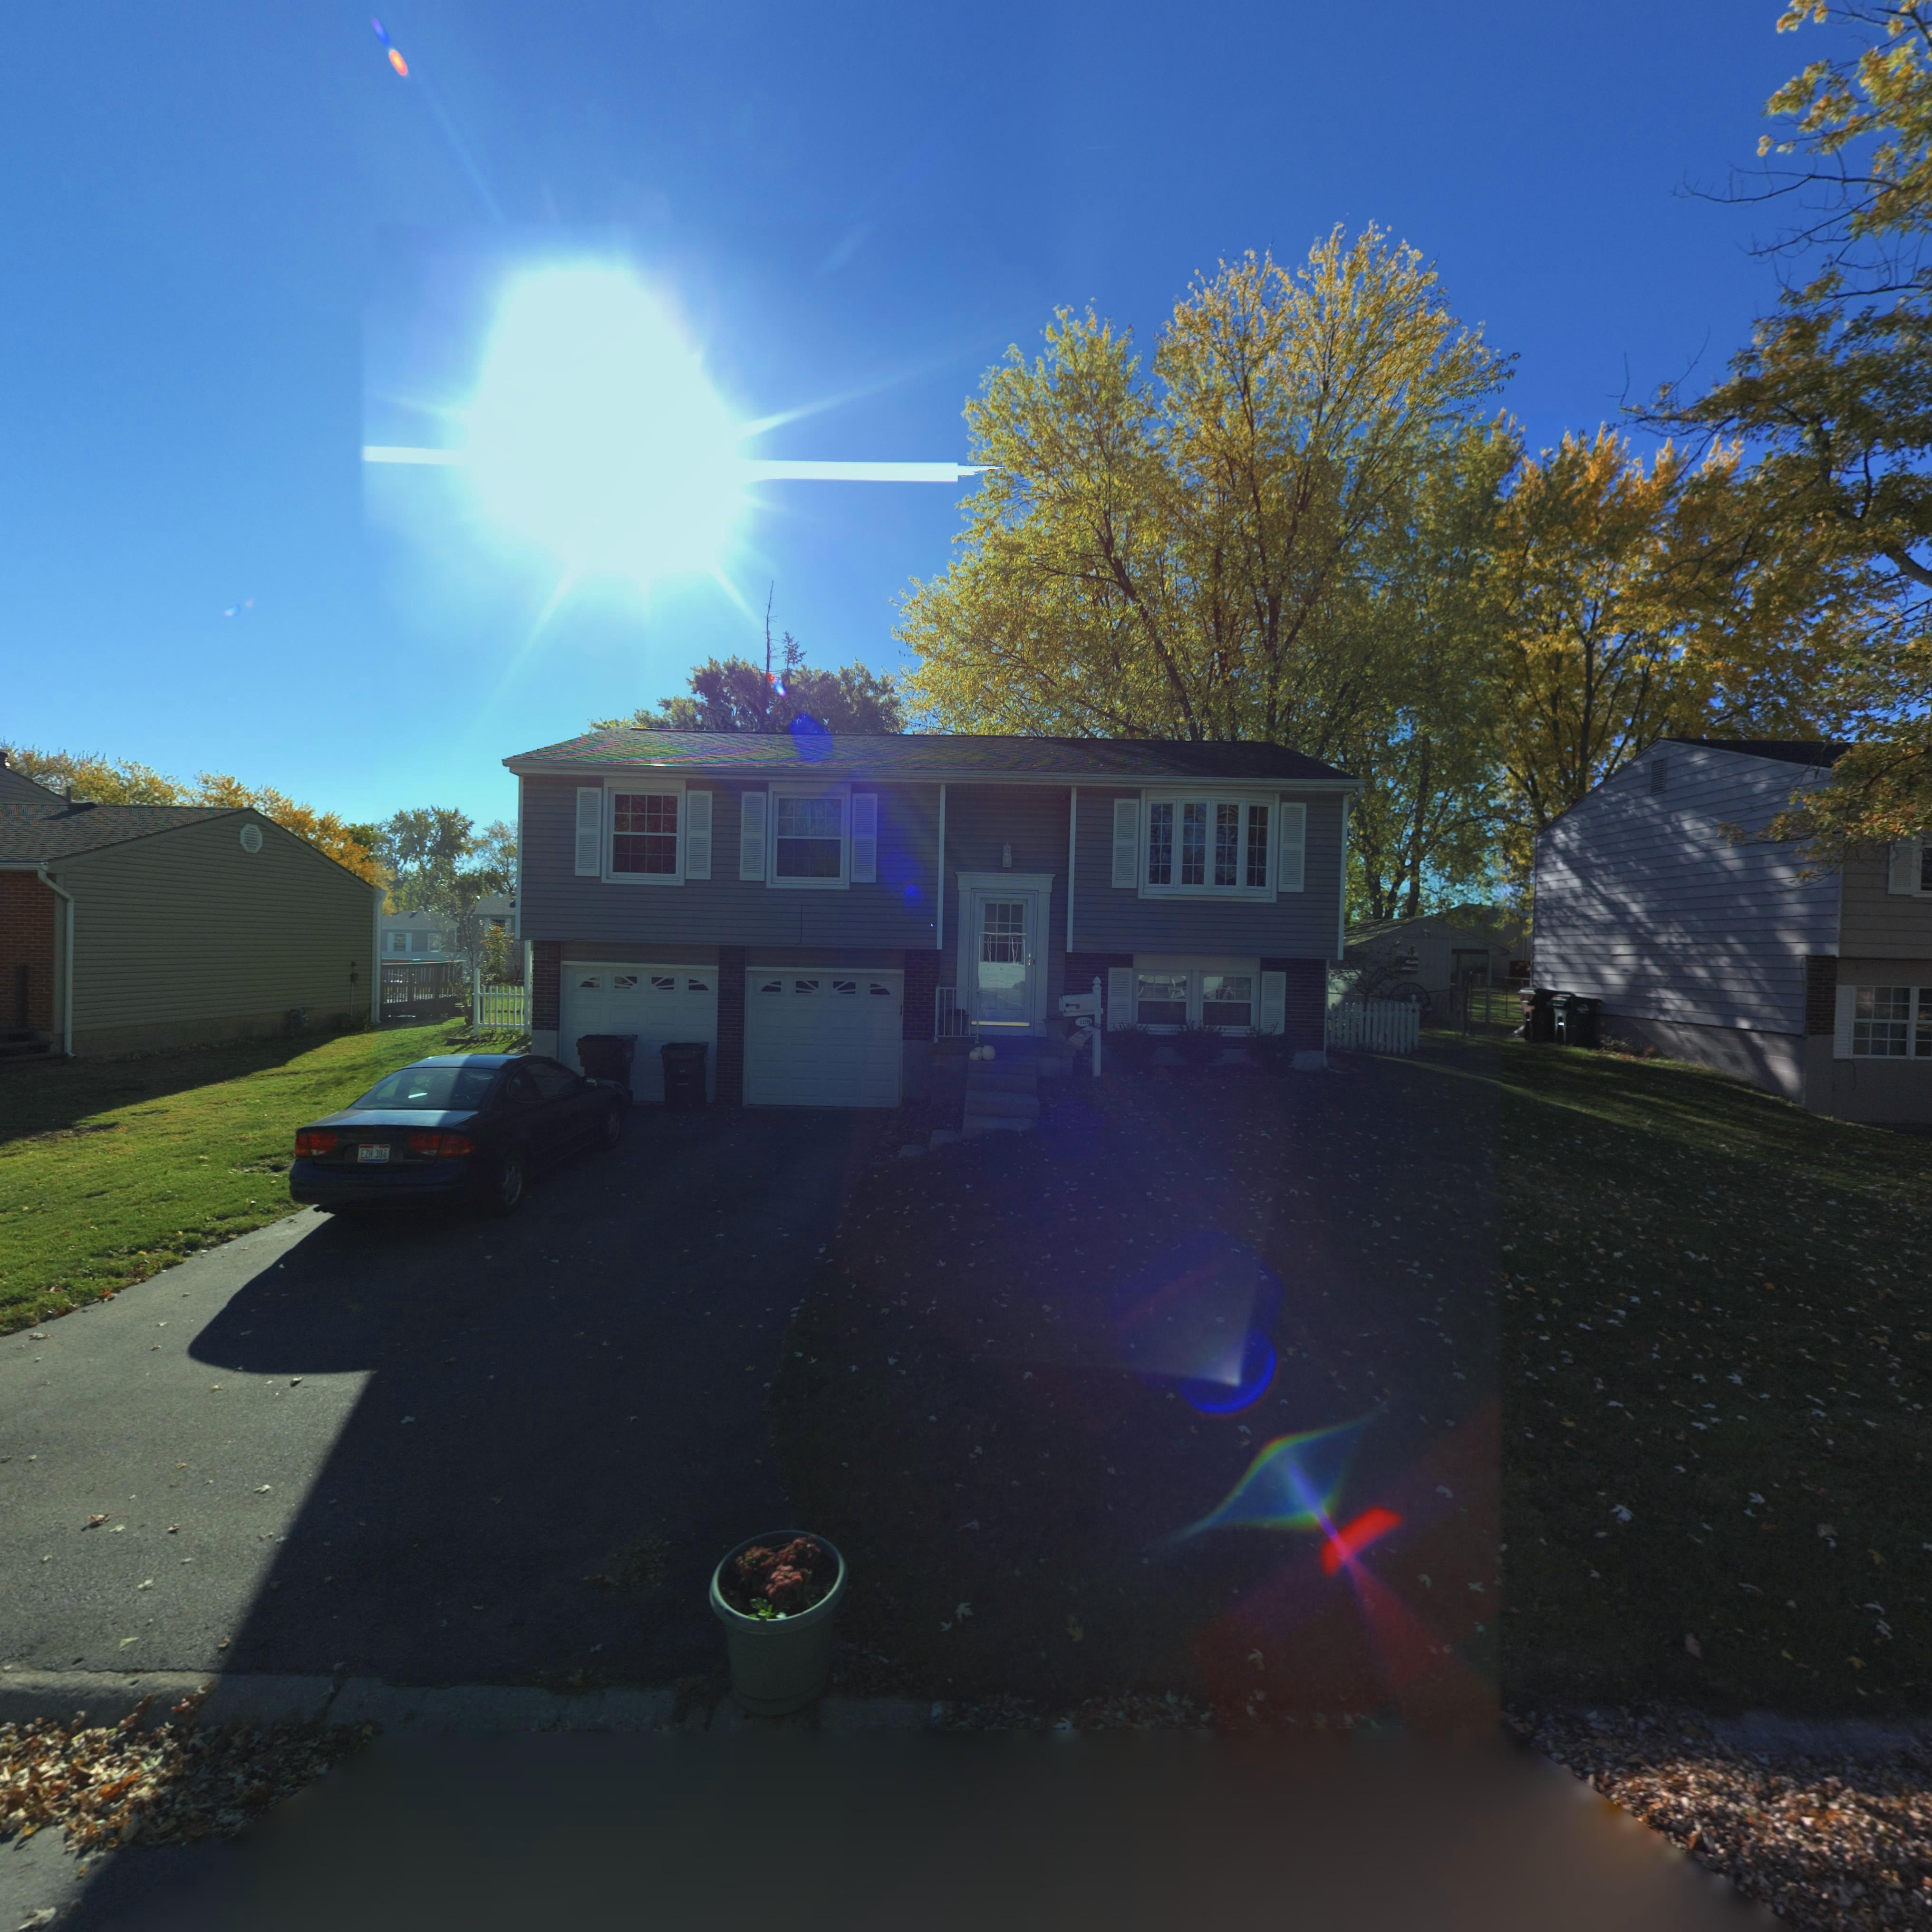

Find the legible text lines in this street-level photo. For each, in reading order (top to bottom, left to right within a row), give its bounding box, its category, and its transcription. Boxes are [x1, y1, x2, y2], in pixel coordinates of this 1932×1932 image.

[1079, 1018, 1088, 1024] StreetNumber: 119